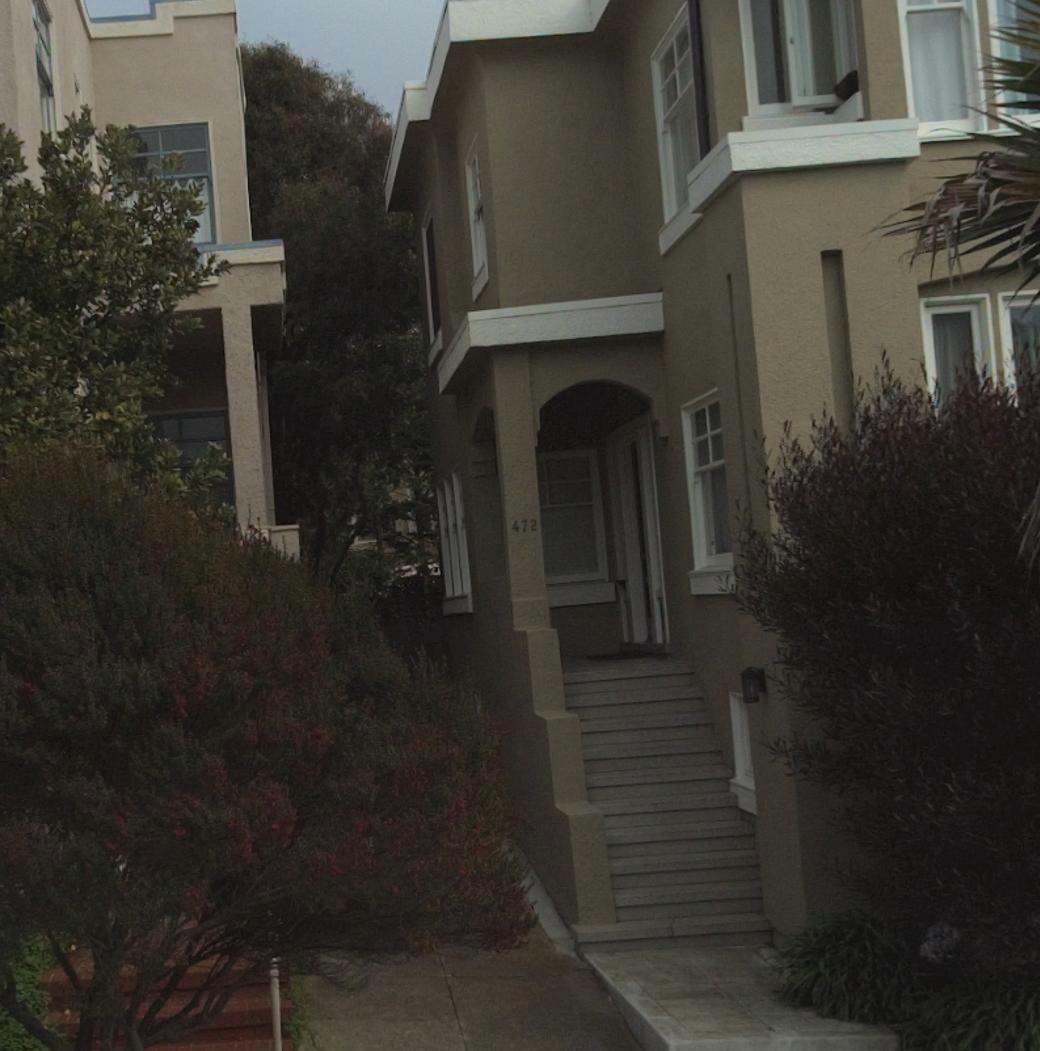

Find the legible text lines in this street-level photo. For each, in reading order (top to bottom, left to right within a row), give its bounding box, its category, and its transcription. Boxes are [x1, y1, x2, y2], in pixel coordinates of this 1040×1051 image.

[510, 519, 539, 533] StreetNumber: 472